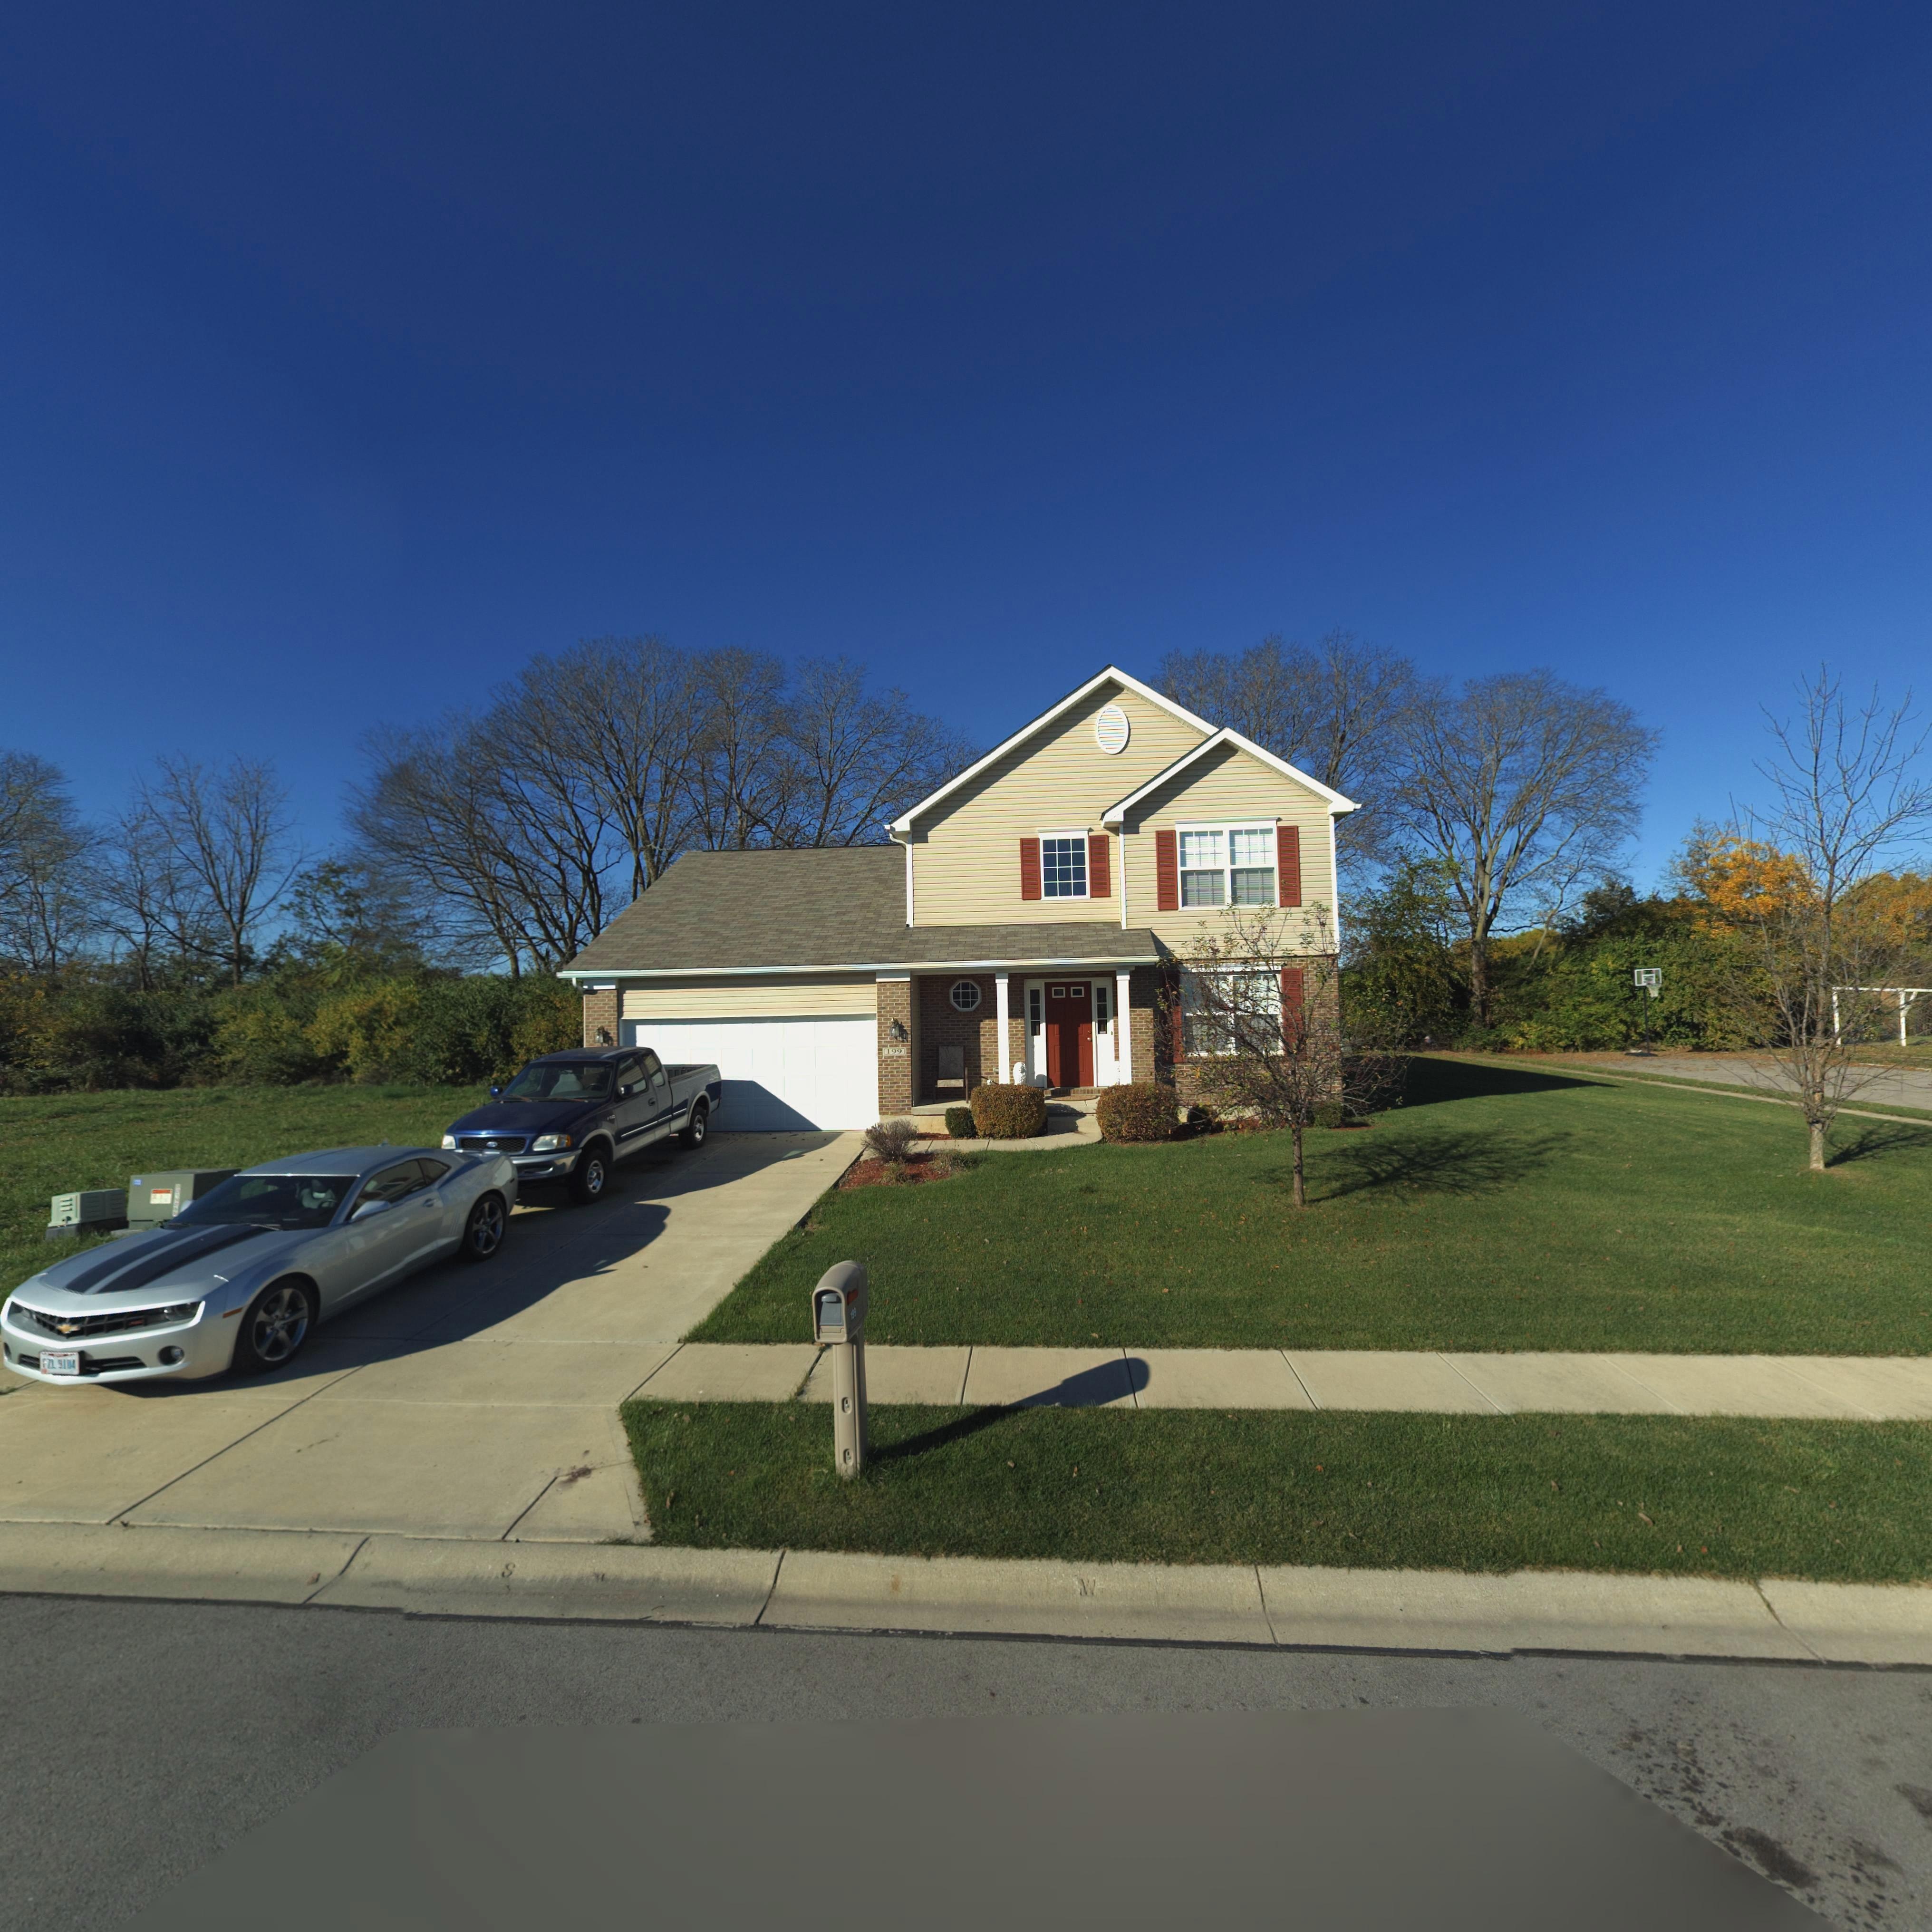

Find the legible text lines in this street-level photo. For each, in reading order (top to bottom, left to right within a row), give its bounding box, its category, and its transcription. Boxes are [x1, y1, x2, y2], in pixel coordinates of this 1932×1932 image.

[887, 1048, 902, 1055] StreetNumber: 199